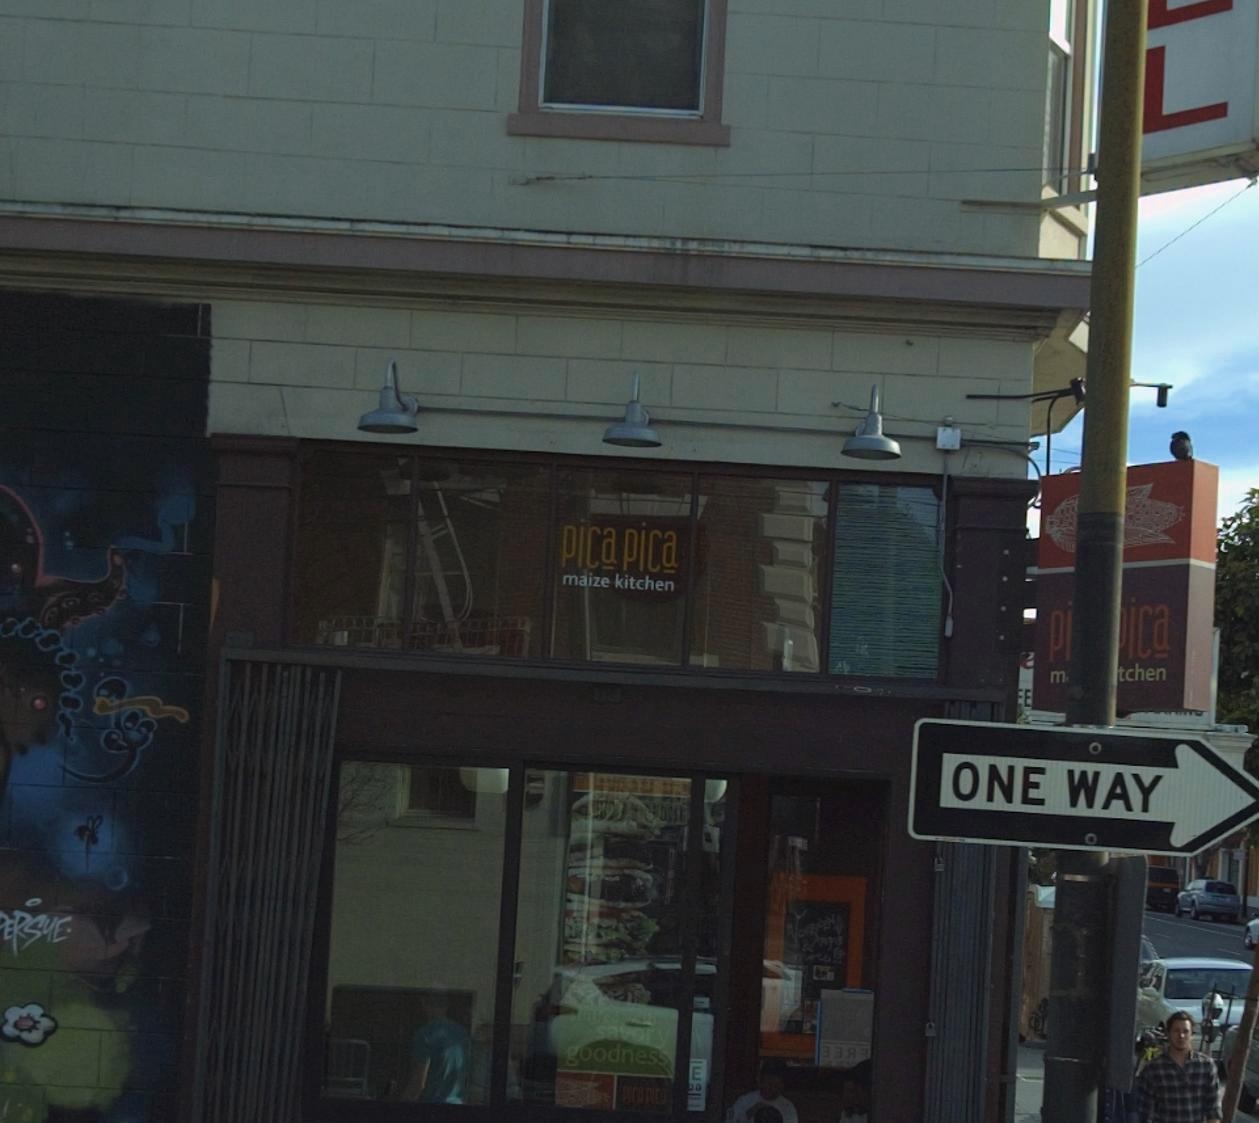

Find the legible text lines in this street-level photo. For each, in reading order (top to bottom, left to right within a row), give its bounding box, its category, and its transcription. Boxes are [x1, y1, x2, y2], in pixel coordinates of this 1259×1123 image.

[1138, 39, 1234, 140] None: L
[558, 515, 684, 577] BusinessName: PiCa PiCa
[560, 570, 678, 594] BusinessName: maize kitchen
[1044, 594, 1081, 667] BusinessName: Pi
[1124, 591, 1174, 663] BusinessName: iCa
[1047, 667, 1072, 686] BusinessName: m
[1114, 661, 1171, 684] BusinessName: tchen
[1022, 685, 1036, 710] None: E
[947, 757, 1170, 817] None: ONE WAY
[1, 908, 75, 961] None: ERSUE
[592, 1021, 675, 1052] None: savory
[562, 1041, 672, 1069] None: goodness
[690, 1064, 705, 1082] None: E